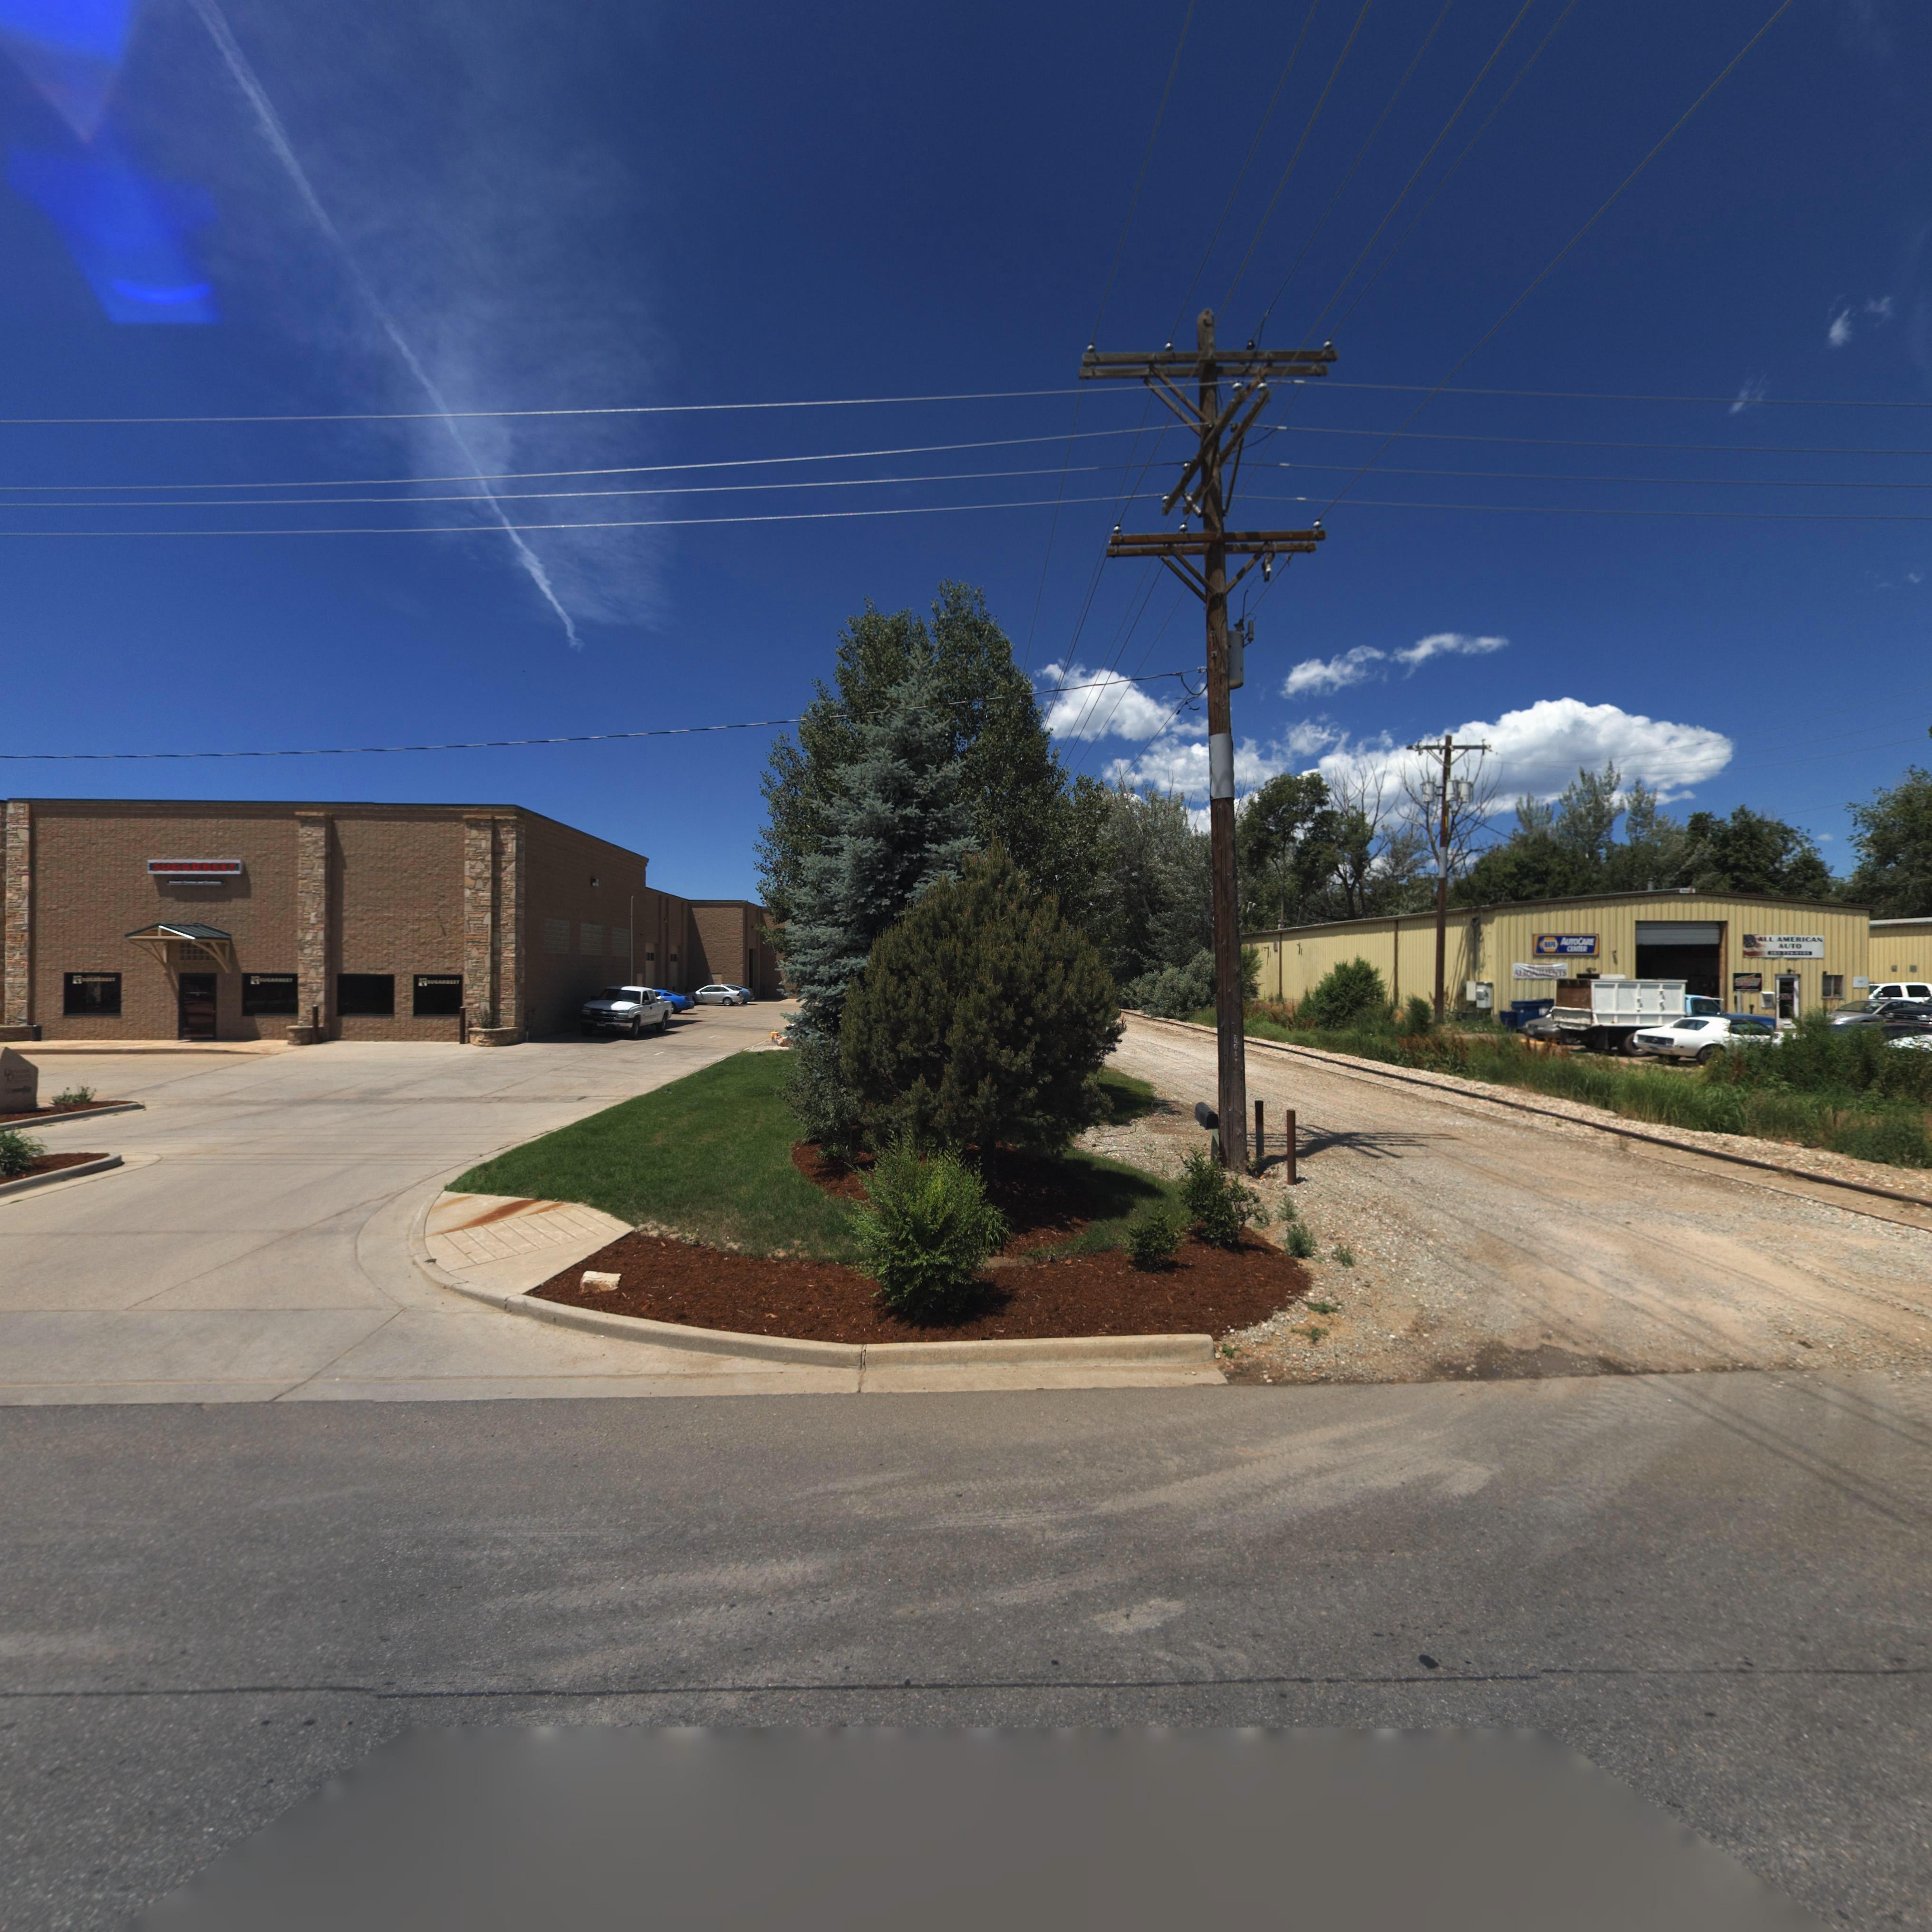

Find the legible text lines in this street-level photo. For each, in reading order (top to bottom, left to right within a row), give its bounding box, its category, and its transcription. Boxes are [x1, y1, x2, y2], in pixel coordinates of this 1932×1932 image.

[152, 862, 236, 871] BusinessName: SUGARBEET
[1559, 937, 1595, 946] BusinessName: AUTOCARE
[1757, 936, 1823, 942] BusinessName: ALL AMERICAN
[1544, 941, 1556, 947] BusinessName: *AP*
[1566, 946, 1587, 951] BusinessName: CENTER
[1777, 943, 1802, 949] BusinessName: AUTO
[82, 977, 115, 981] BusinessName: SUGARBEET
[259, 978, 293, 983] BusinessName: SUGARBEET
[427, 979, 460, 984] BusinessName: SUGARBEET